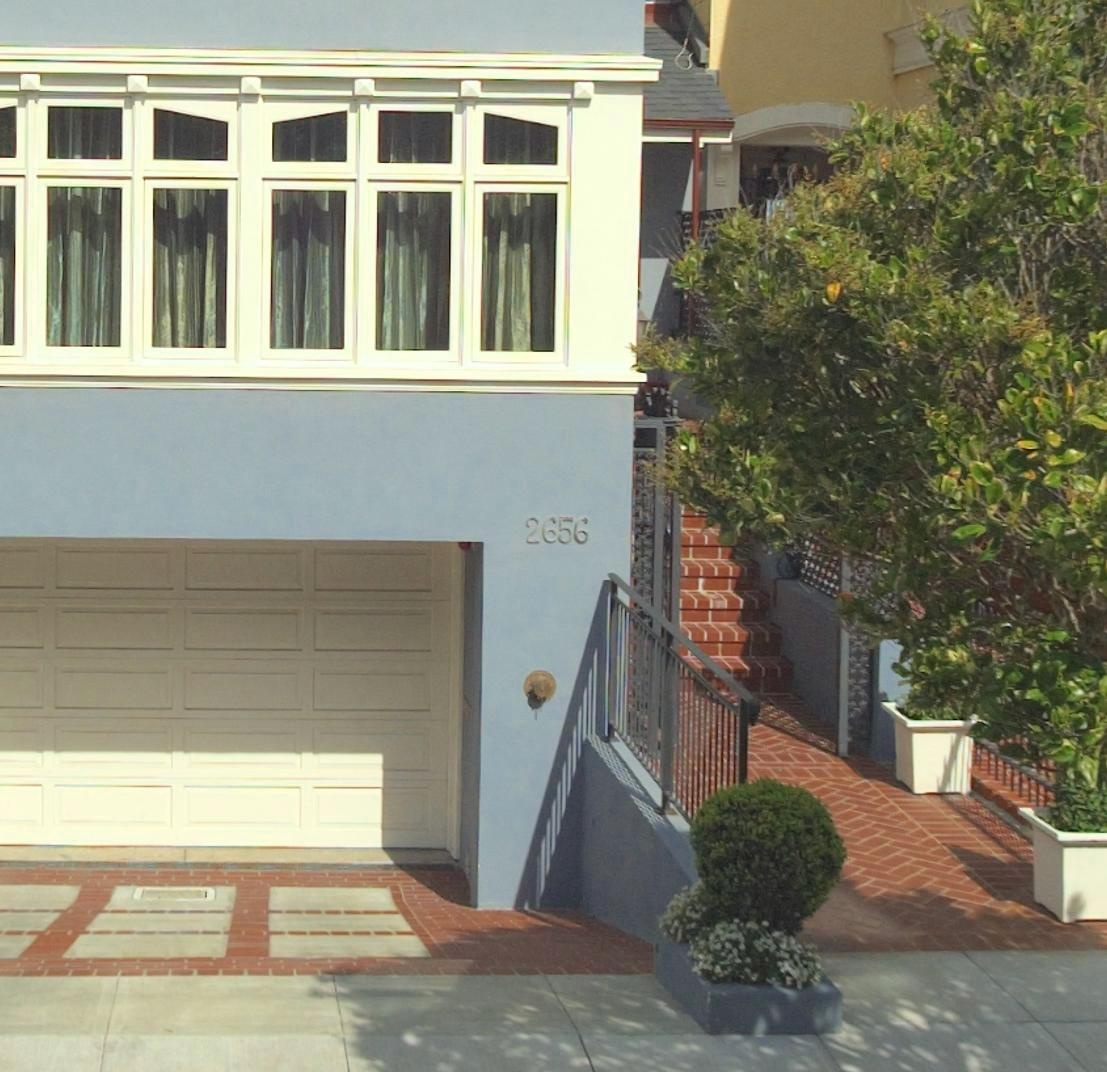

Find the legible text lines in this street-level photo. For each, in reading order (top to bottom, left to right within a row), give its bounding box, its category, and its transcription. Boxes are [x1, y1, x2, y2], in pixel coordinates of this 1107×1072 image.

[523, 513, 591, 547] StreetNumber: 2656